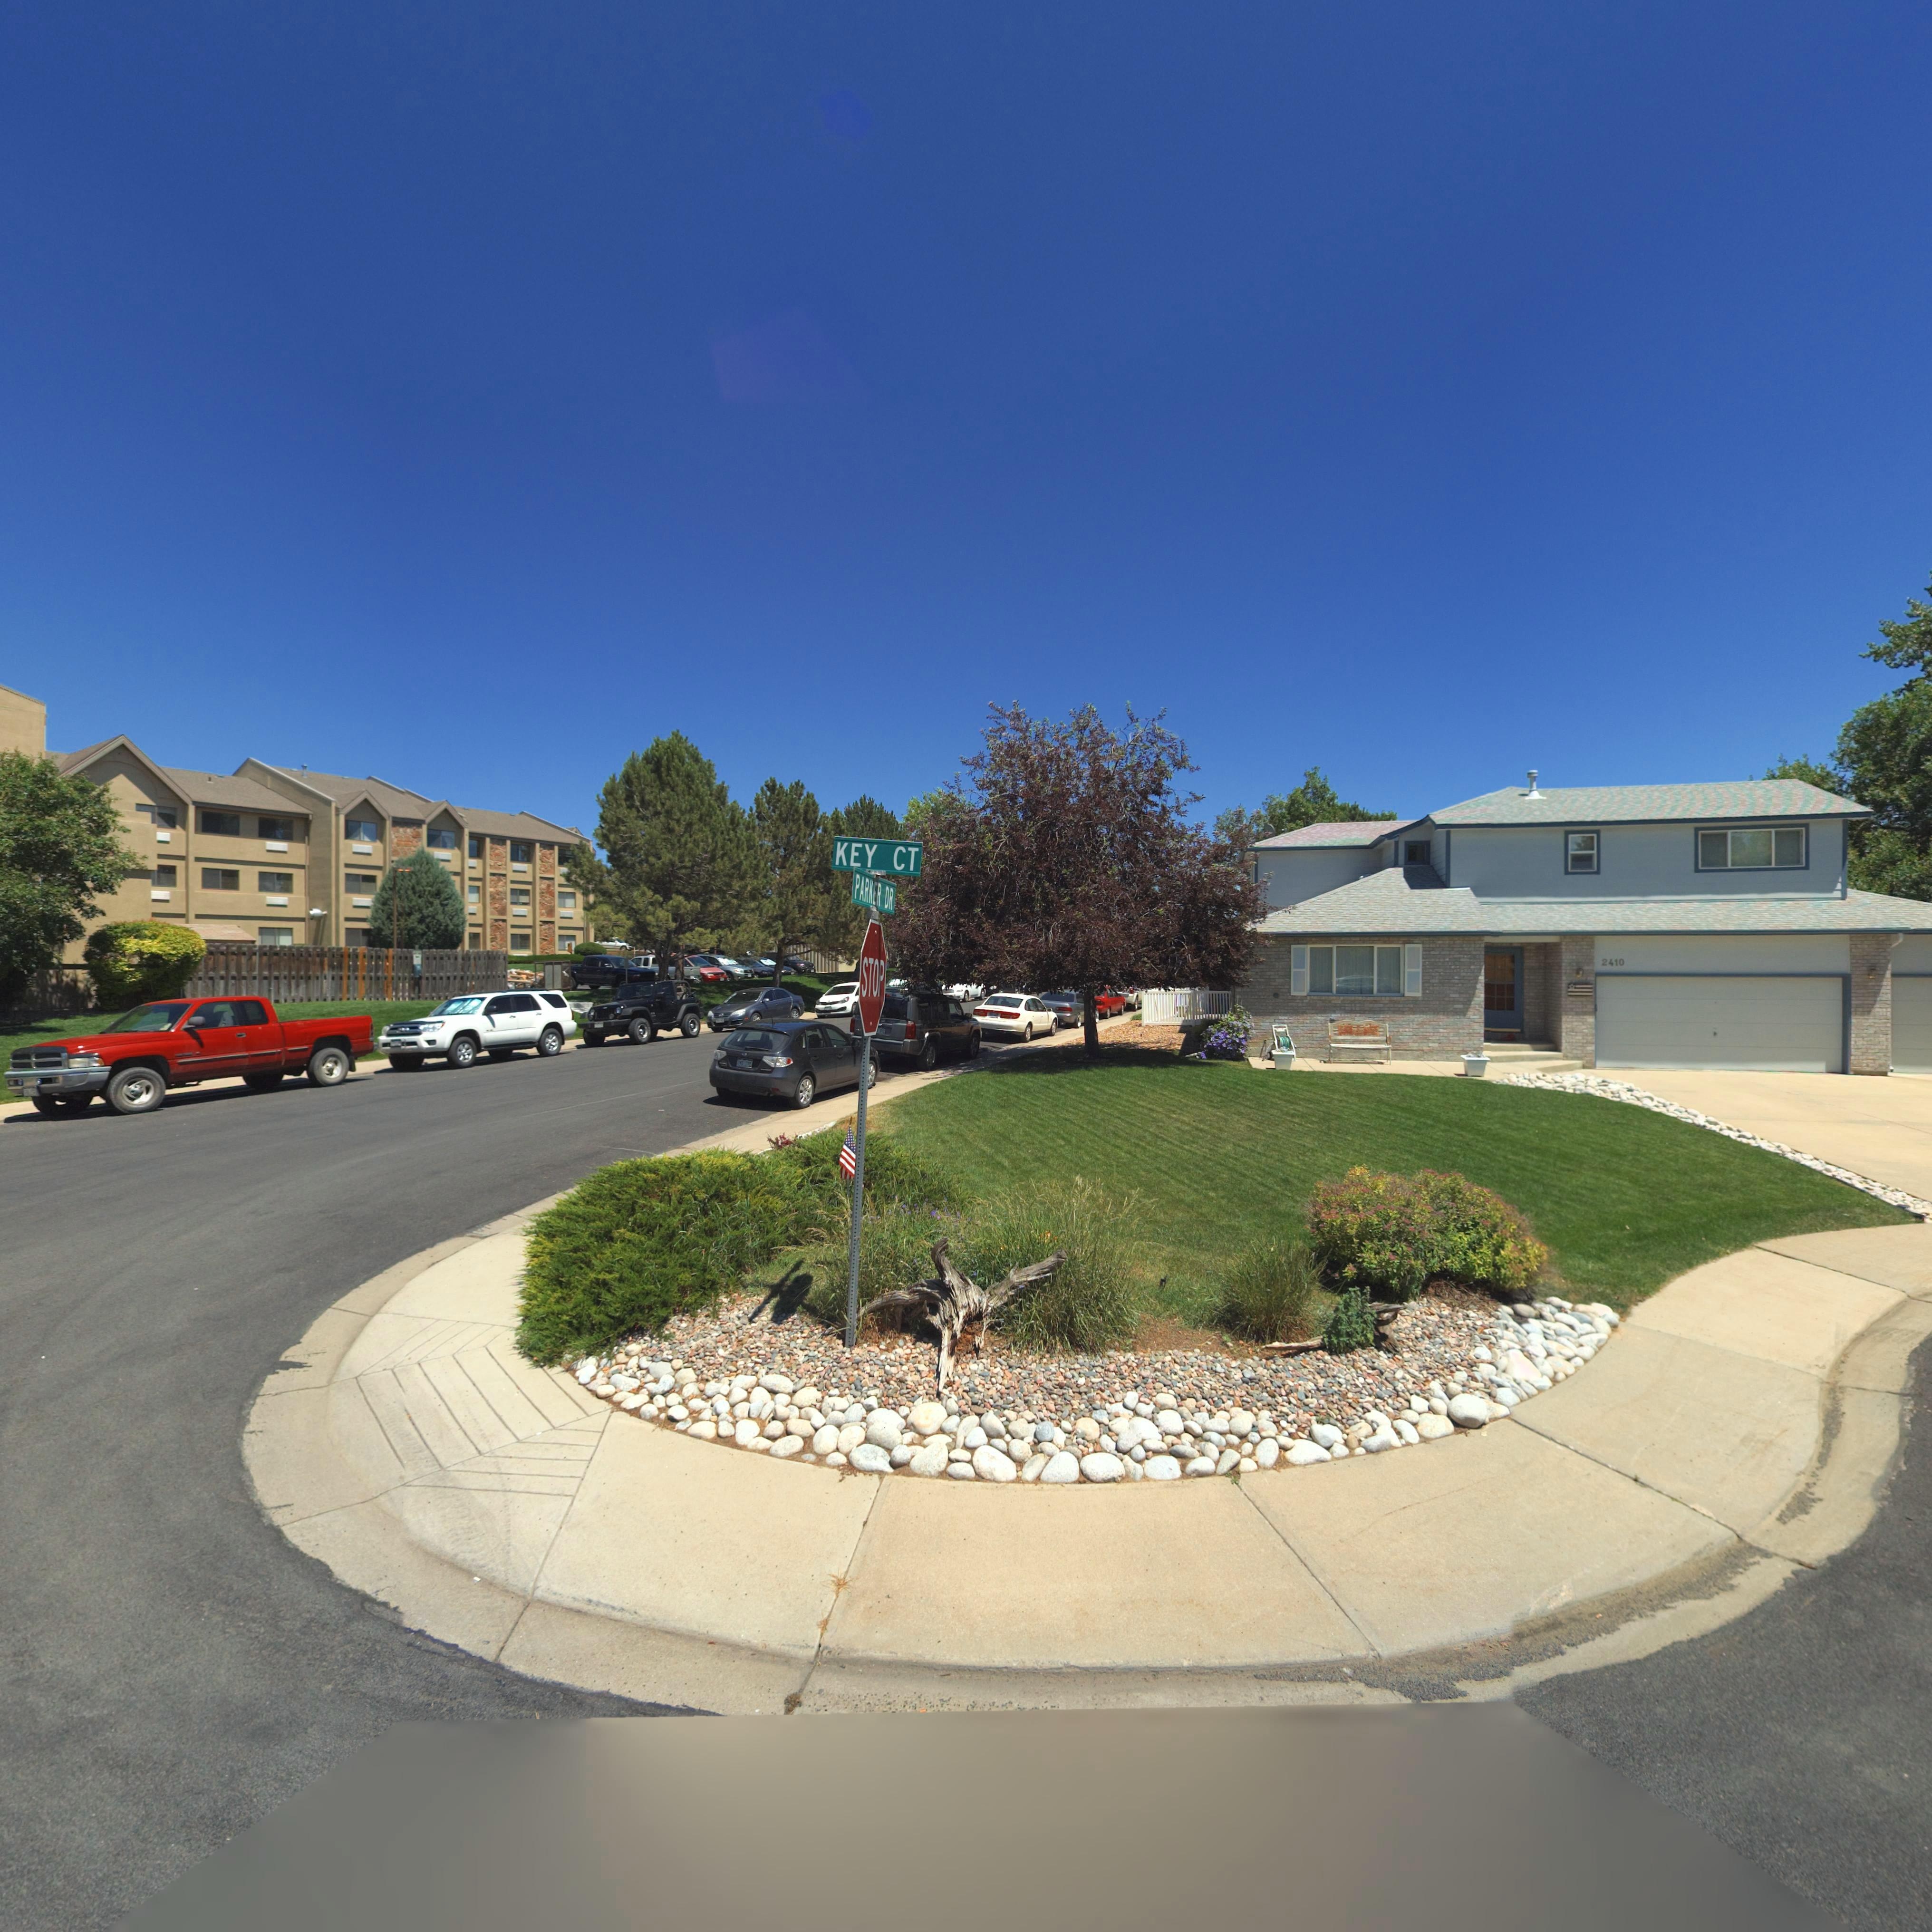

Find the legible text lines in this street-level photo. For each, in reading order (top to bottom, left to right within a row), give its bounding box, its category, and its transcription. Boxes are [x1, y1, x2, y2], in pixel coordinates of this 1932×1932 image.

[835, 841, 919, 871] StreetName: KEY CT
[854, 873, 894, 910] StreetName: PARKER DR
[1601, 958, 1625, 966] StreetNumber: 2410